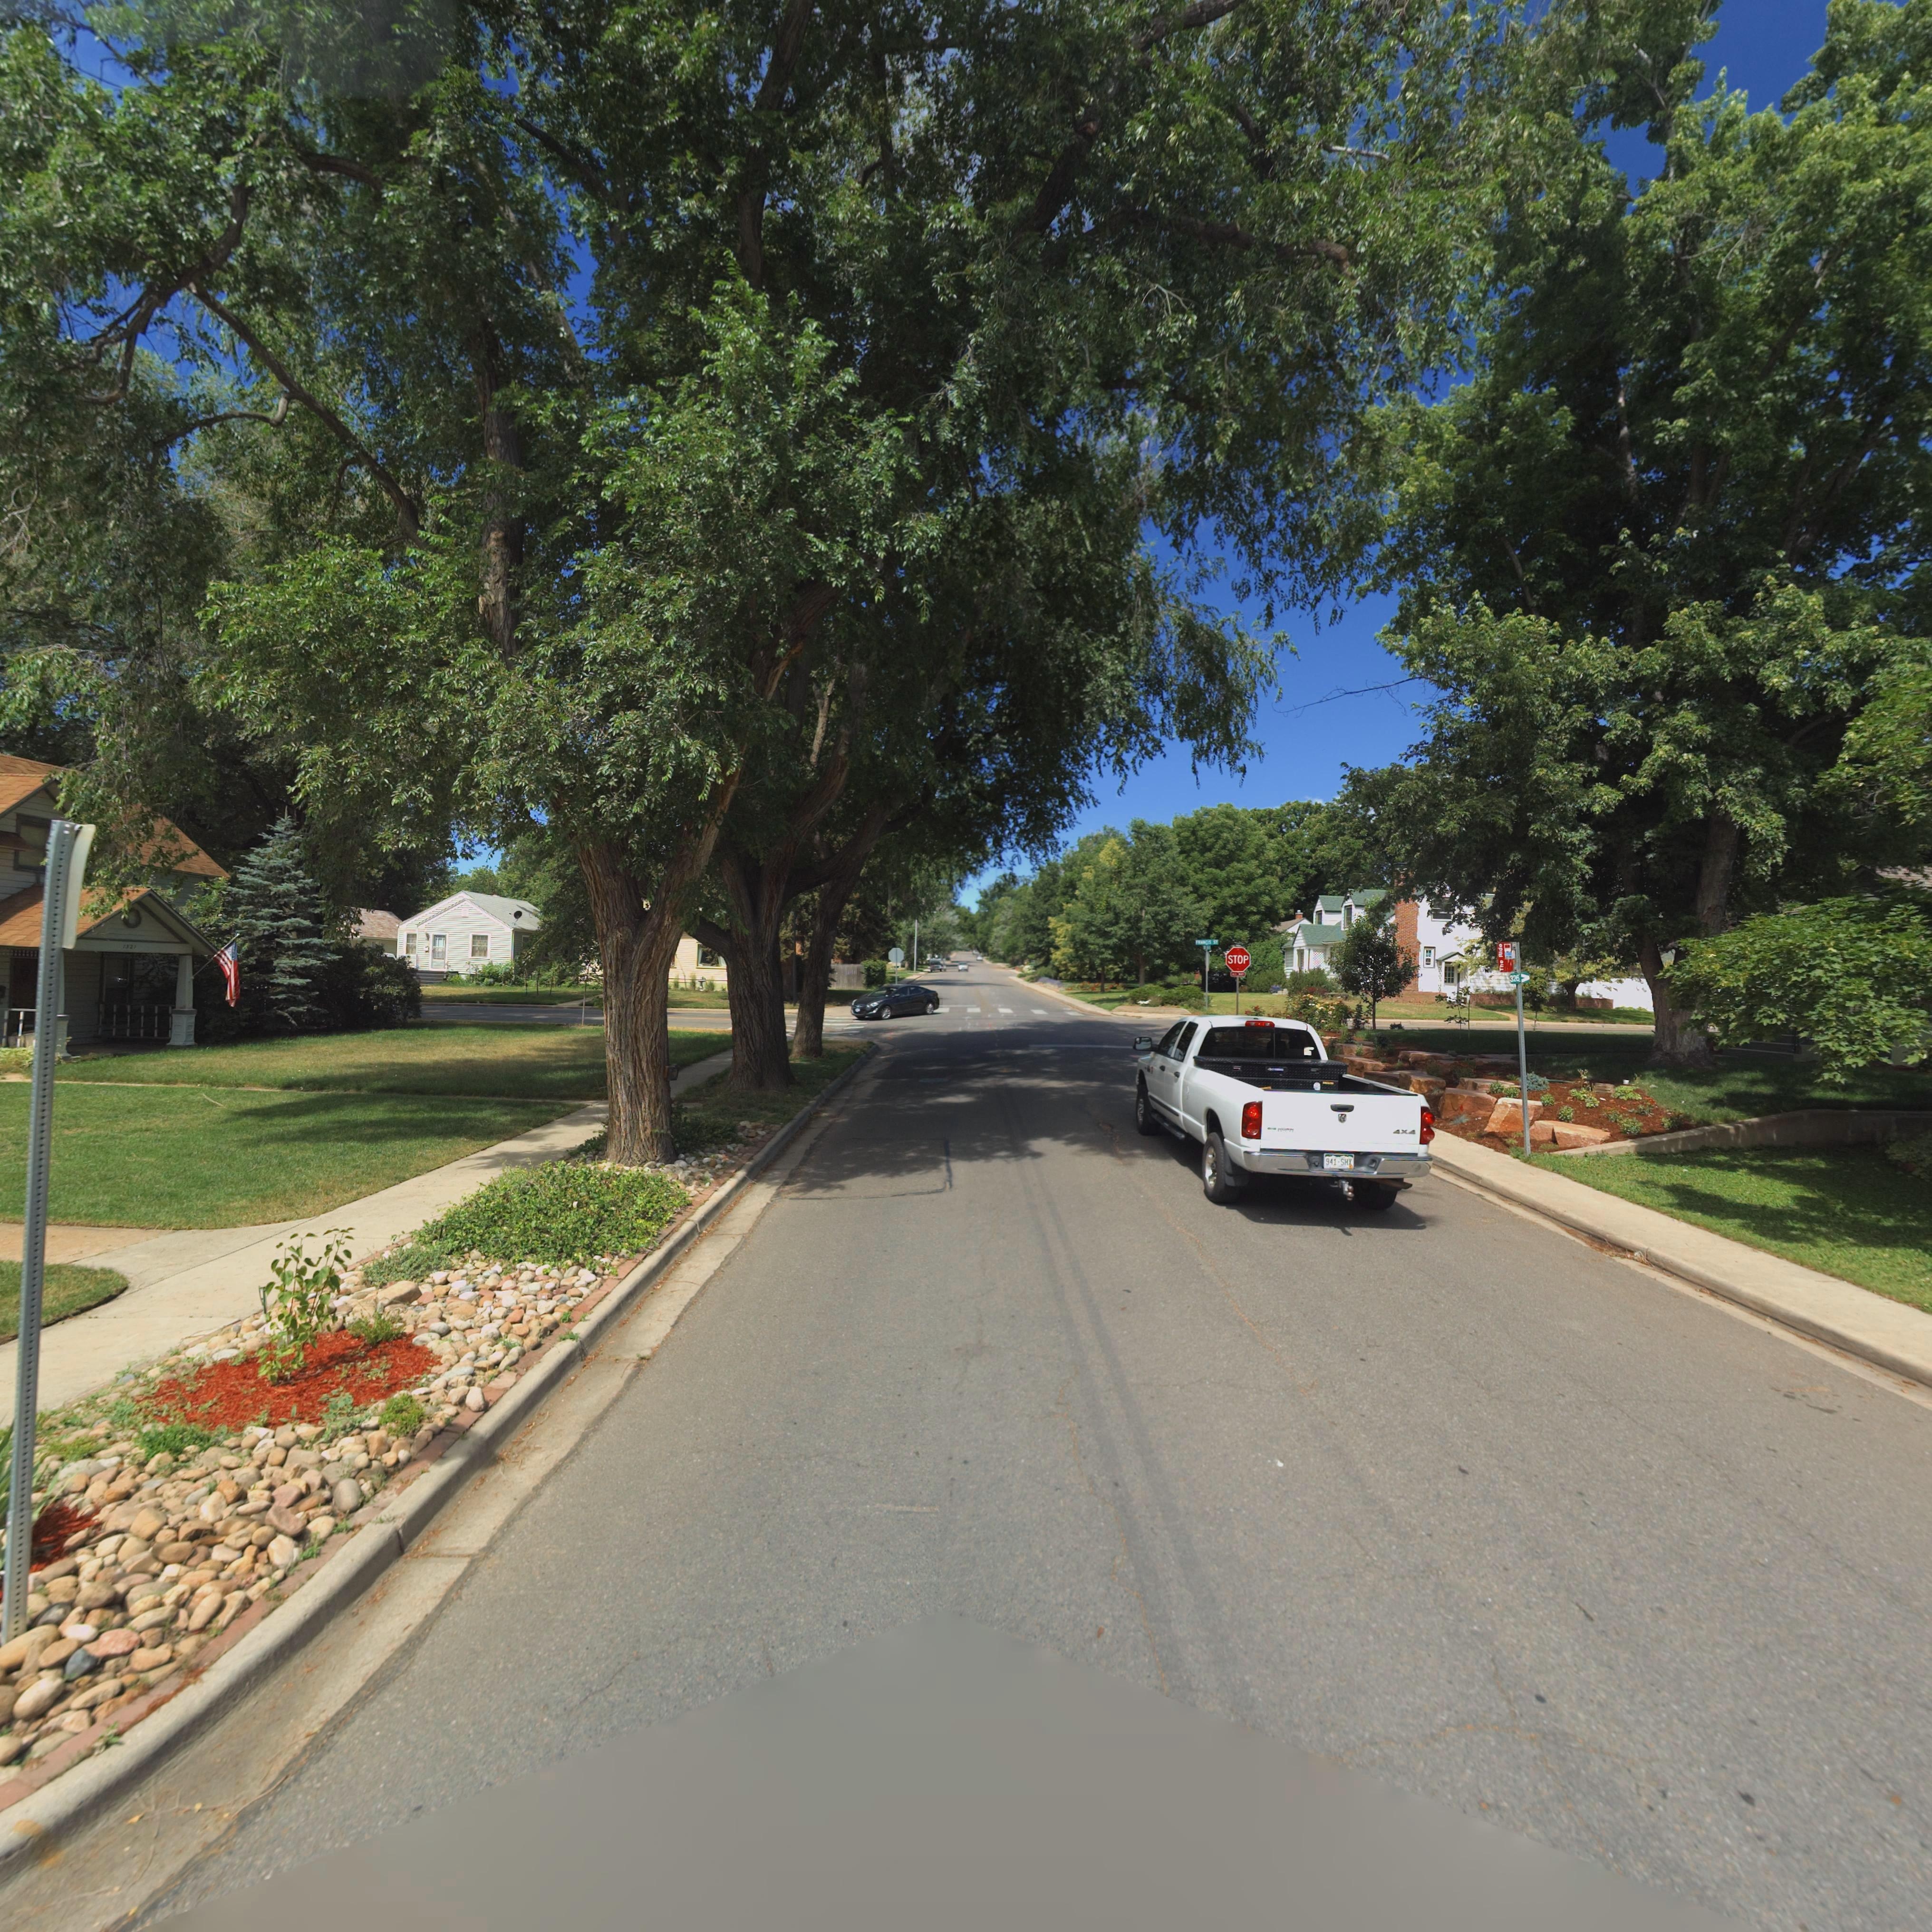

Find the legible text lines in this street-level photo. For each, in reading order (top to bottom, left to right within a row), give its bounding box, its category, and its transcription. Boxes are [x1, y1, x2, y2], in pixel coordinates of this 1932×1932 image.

[1195, 939, 1218, 944] StreetName: ****S ST
[122, 943, 137, 949] StreetNumber: 1321